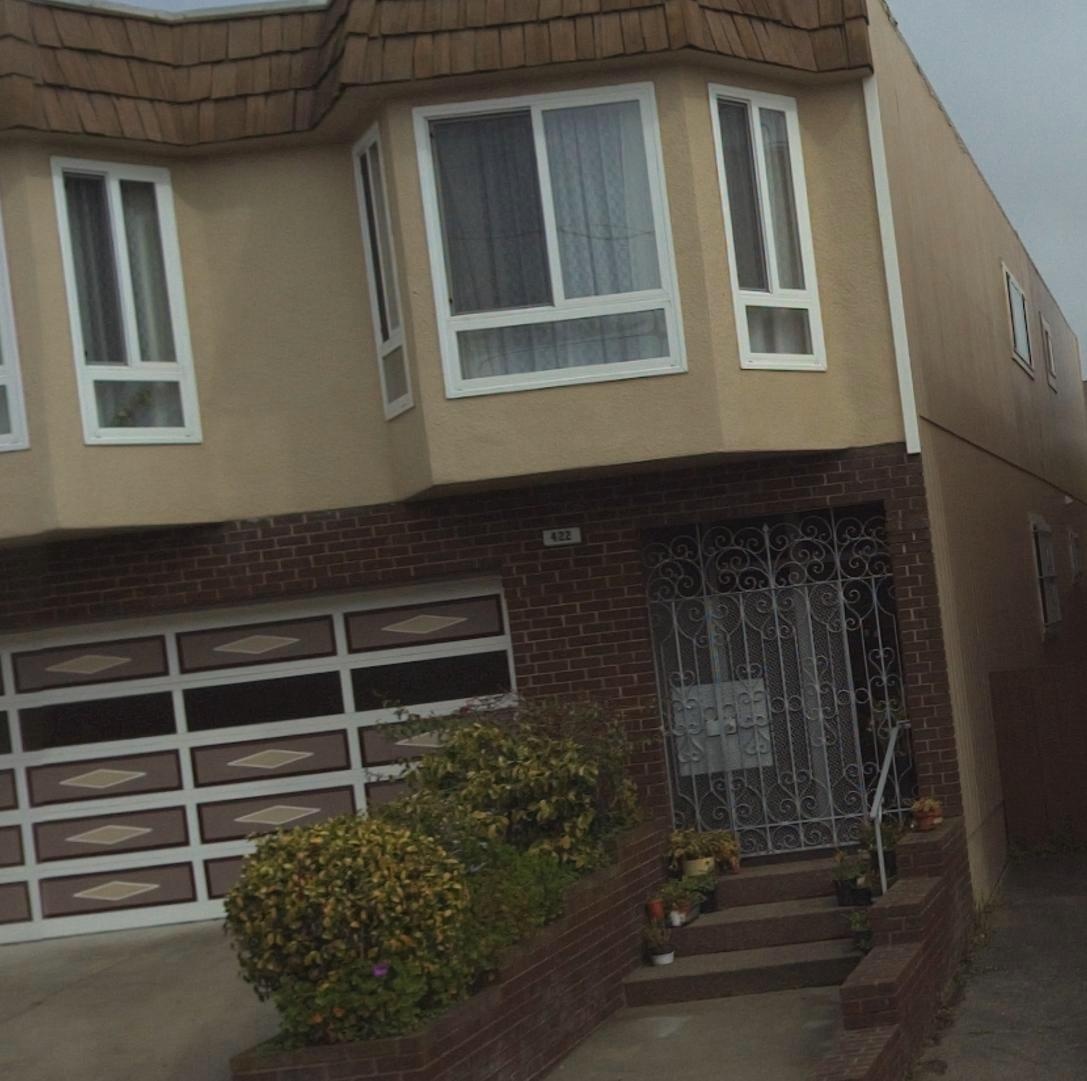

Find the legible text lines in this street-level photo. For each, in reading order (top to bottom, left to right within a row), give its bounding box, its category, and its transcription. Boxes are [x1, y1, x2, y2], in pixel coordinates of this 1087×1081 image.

[550, 528, 573, 543] StreetNumber: 422